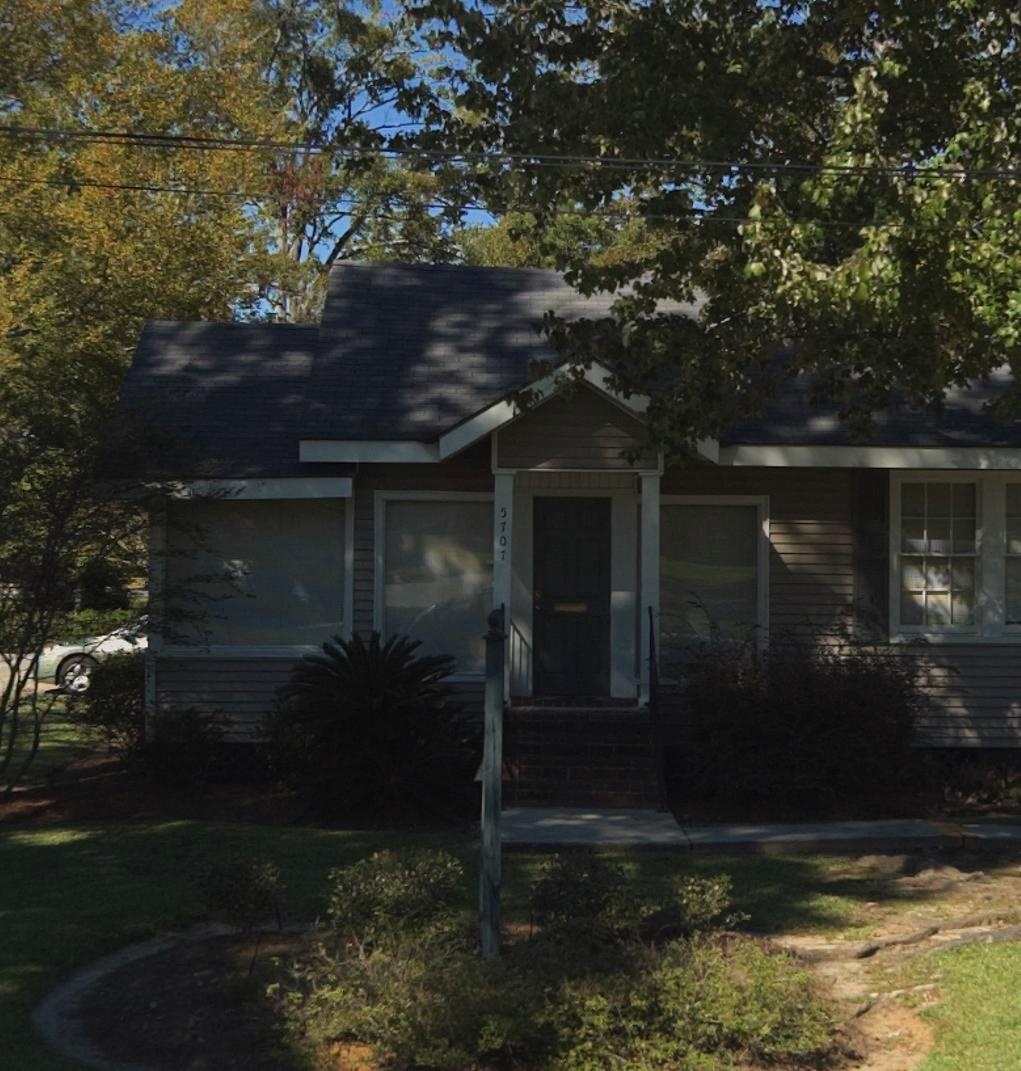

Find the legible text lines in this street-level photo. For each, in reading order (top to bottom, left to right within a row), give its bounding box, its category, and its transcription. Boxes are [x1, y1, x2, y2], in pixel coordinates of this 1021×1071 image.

[499, 505, 508, 563] StreetNumber: 5707